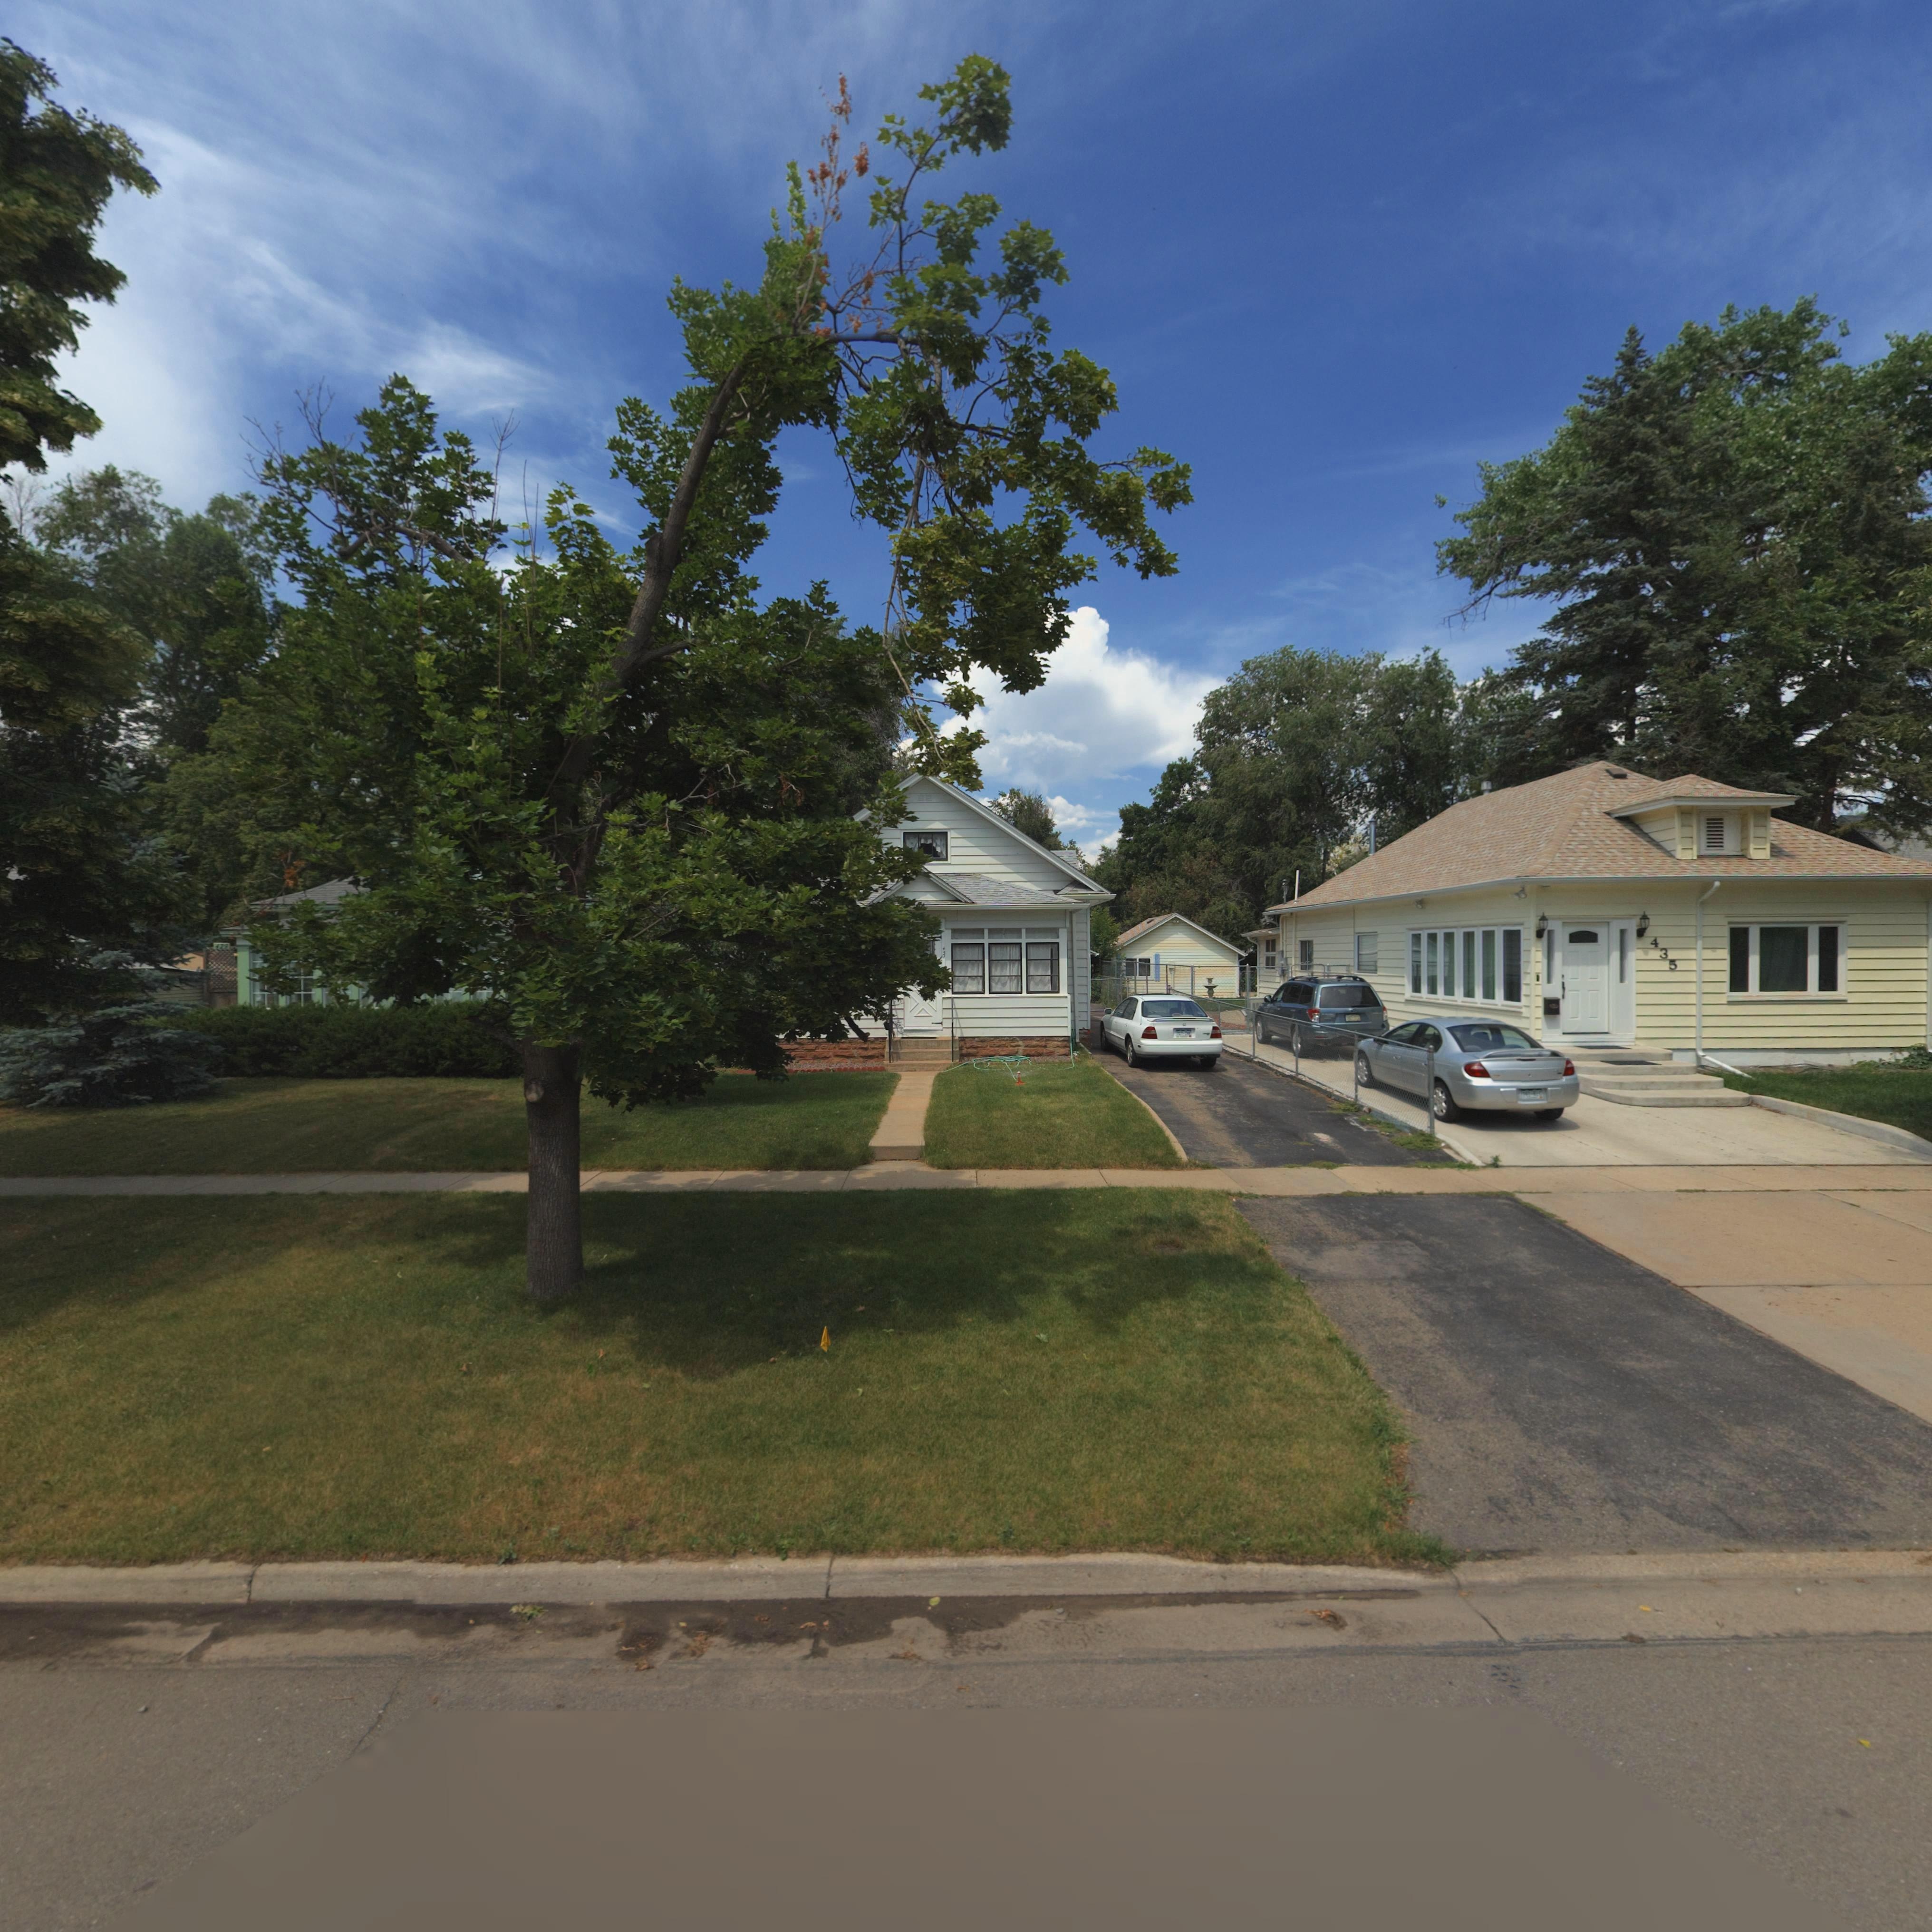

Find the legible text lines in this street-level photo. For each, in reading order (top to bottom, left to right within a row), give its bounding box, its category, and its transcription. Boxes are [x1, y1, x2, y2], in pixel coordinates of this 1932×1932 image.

[942, 947, 945, 958] StreetNumber: 43*
[1650, 936, 1678, 970] StreetNumber: 435